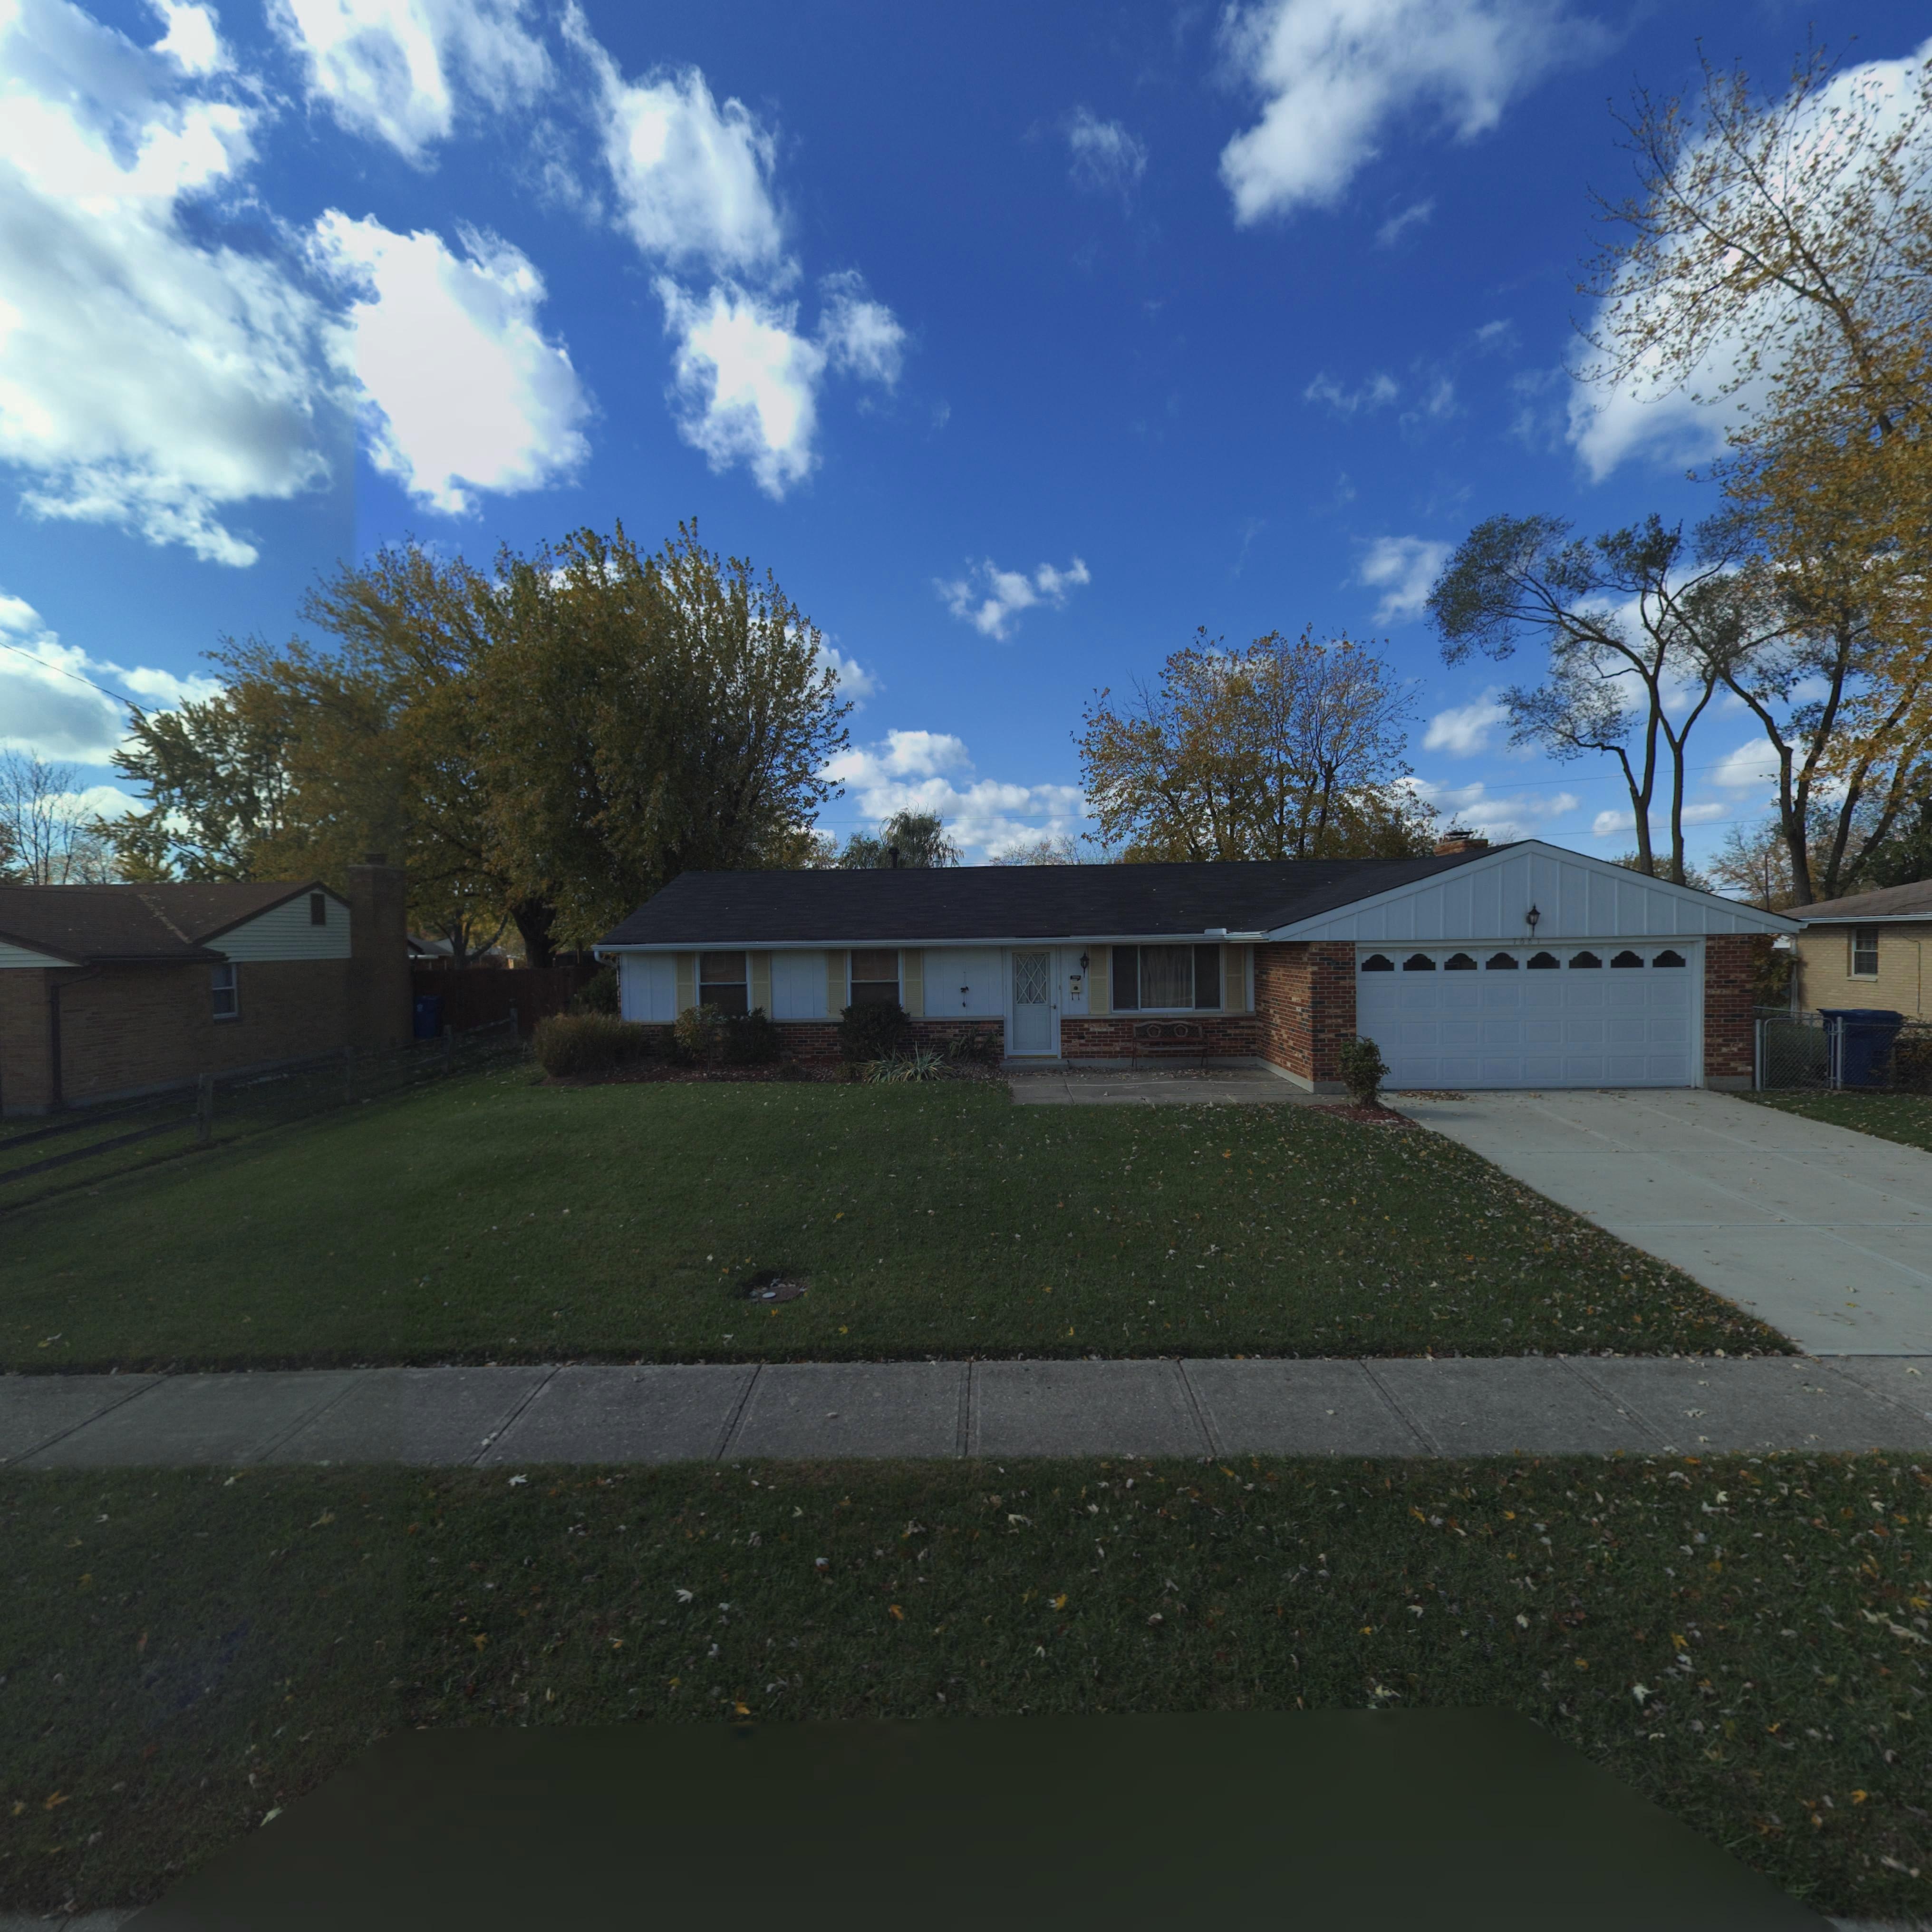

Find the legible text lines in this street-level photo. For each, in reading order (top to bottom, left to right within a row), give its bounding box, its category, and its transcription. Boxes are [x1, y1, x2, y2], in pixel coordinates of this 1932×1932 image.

[1512, 937, 1541, 945] StreetNumber: 7681